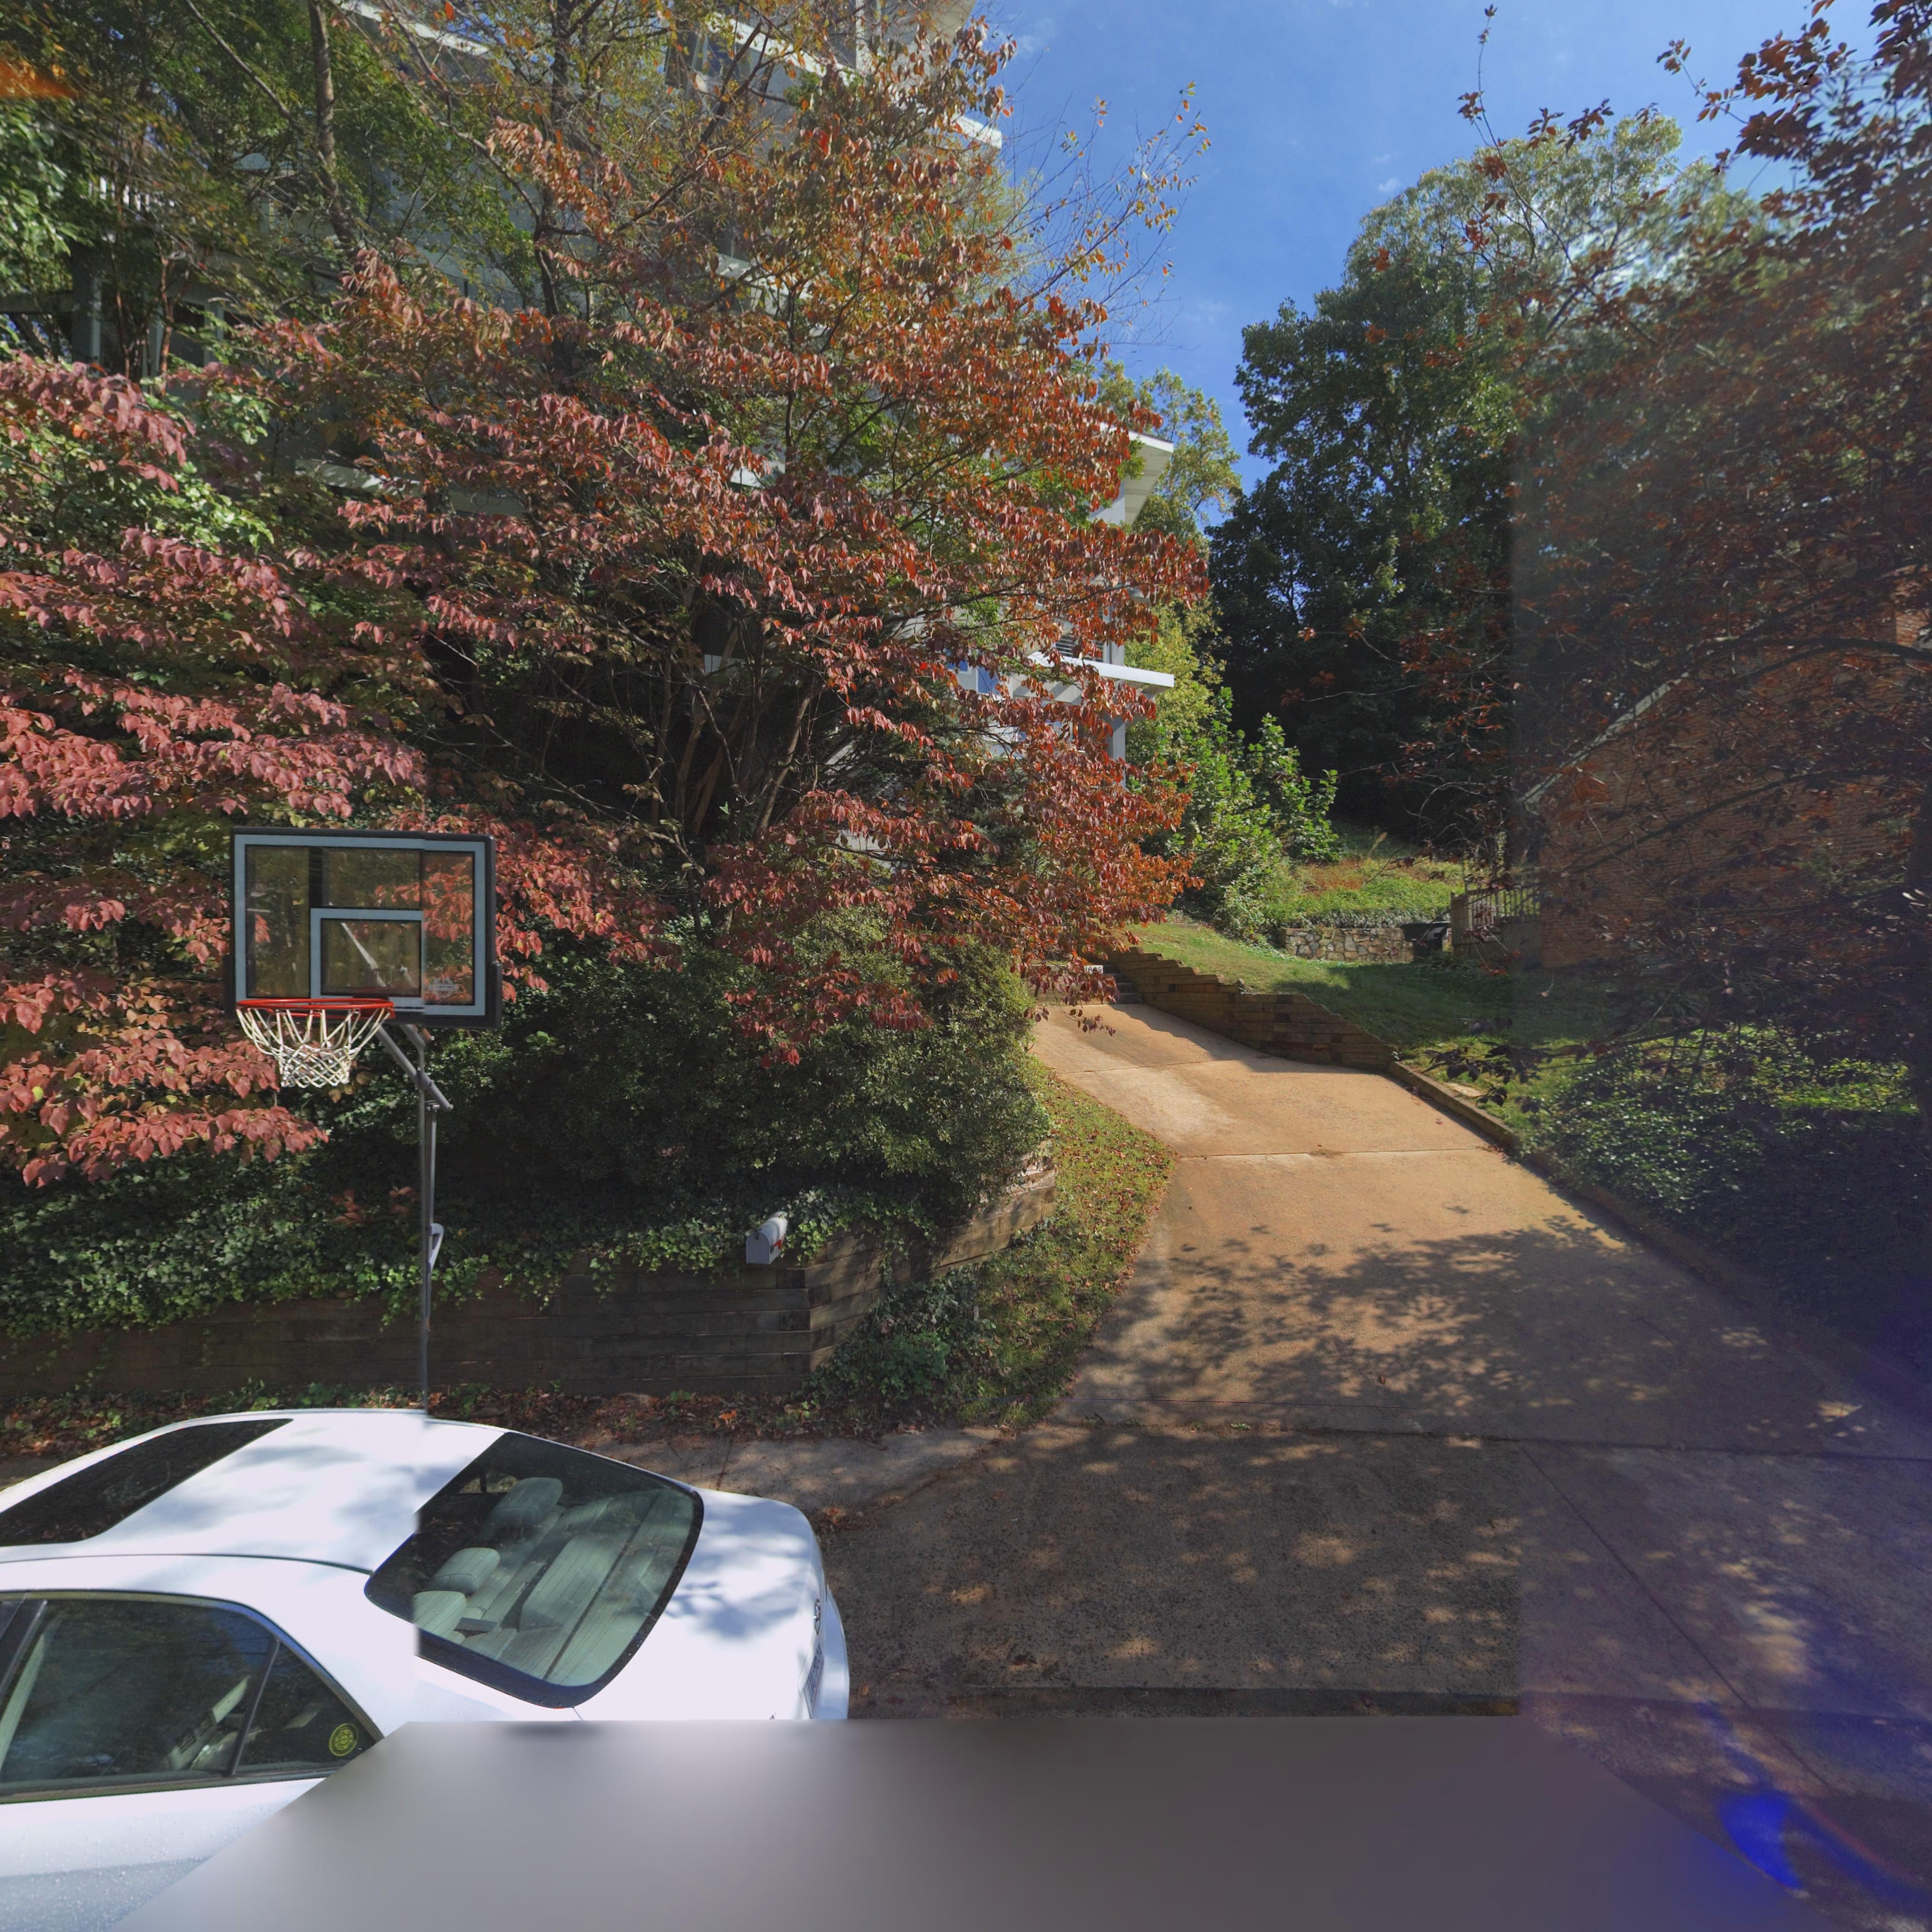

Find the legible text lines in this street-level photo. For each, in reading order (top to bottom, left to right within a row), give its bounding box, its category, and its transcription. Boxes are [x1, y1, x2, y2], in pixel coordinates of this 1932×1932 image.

[1084, 966, 1101, 973] StreetNumber: 1835